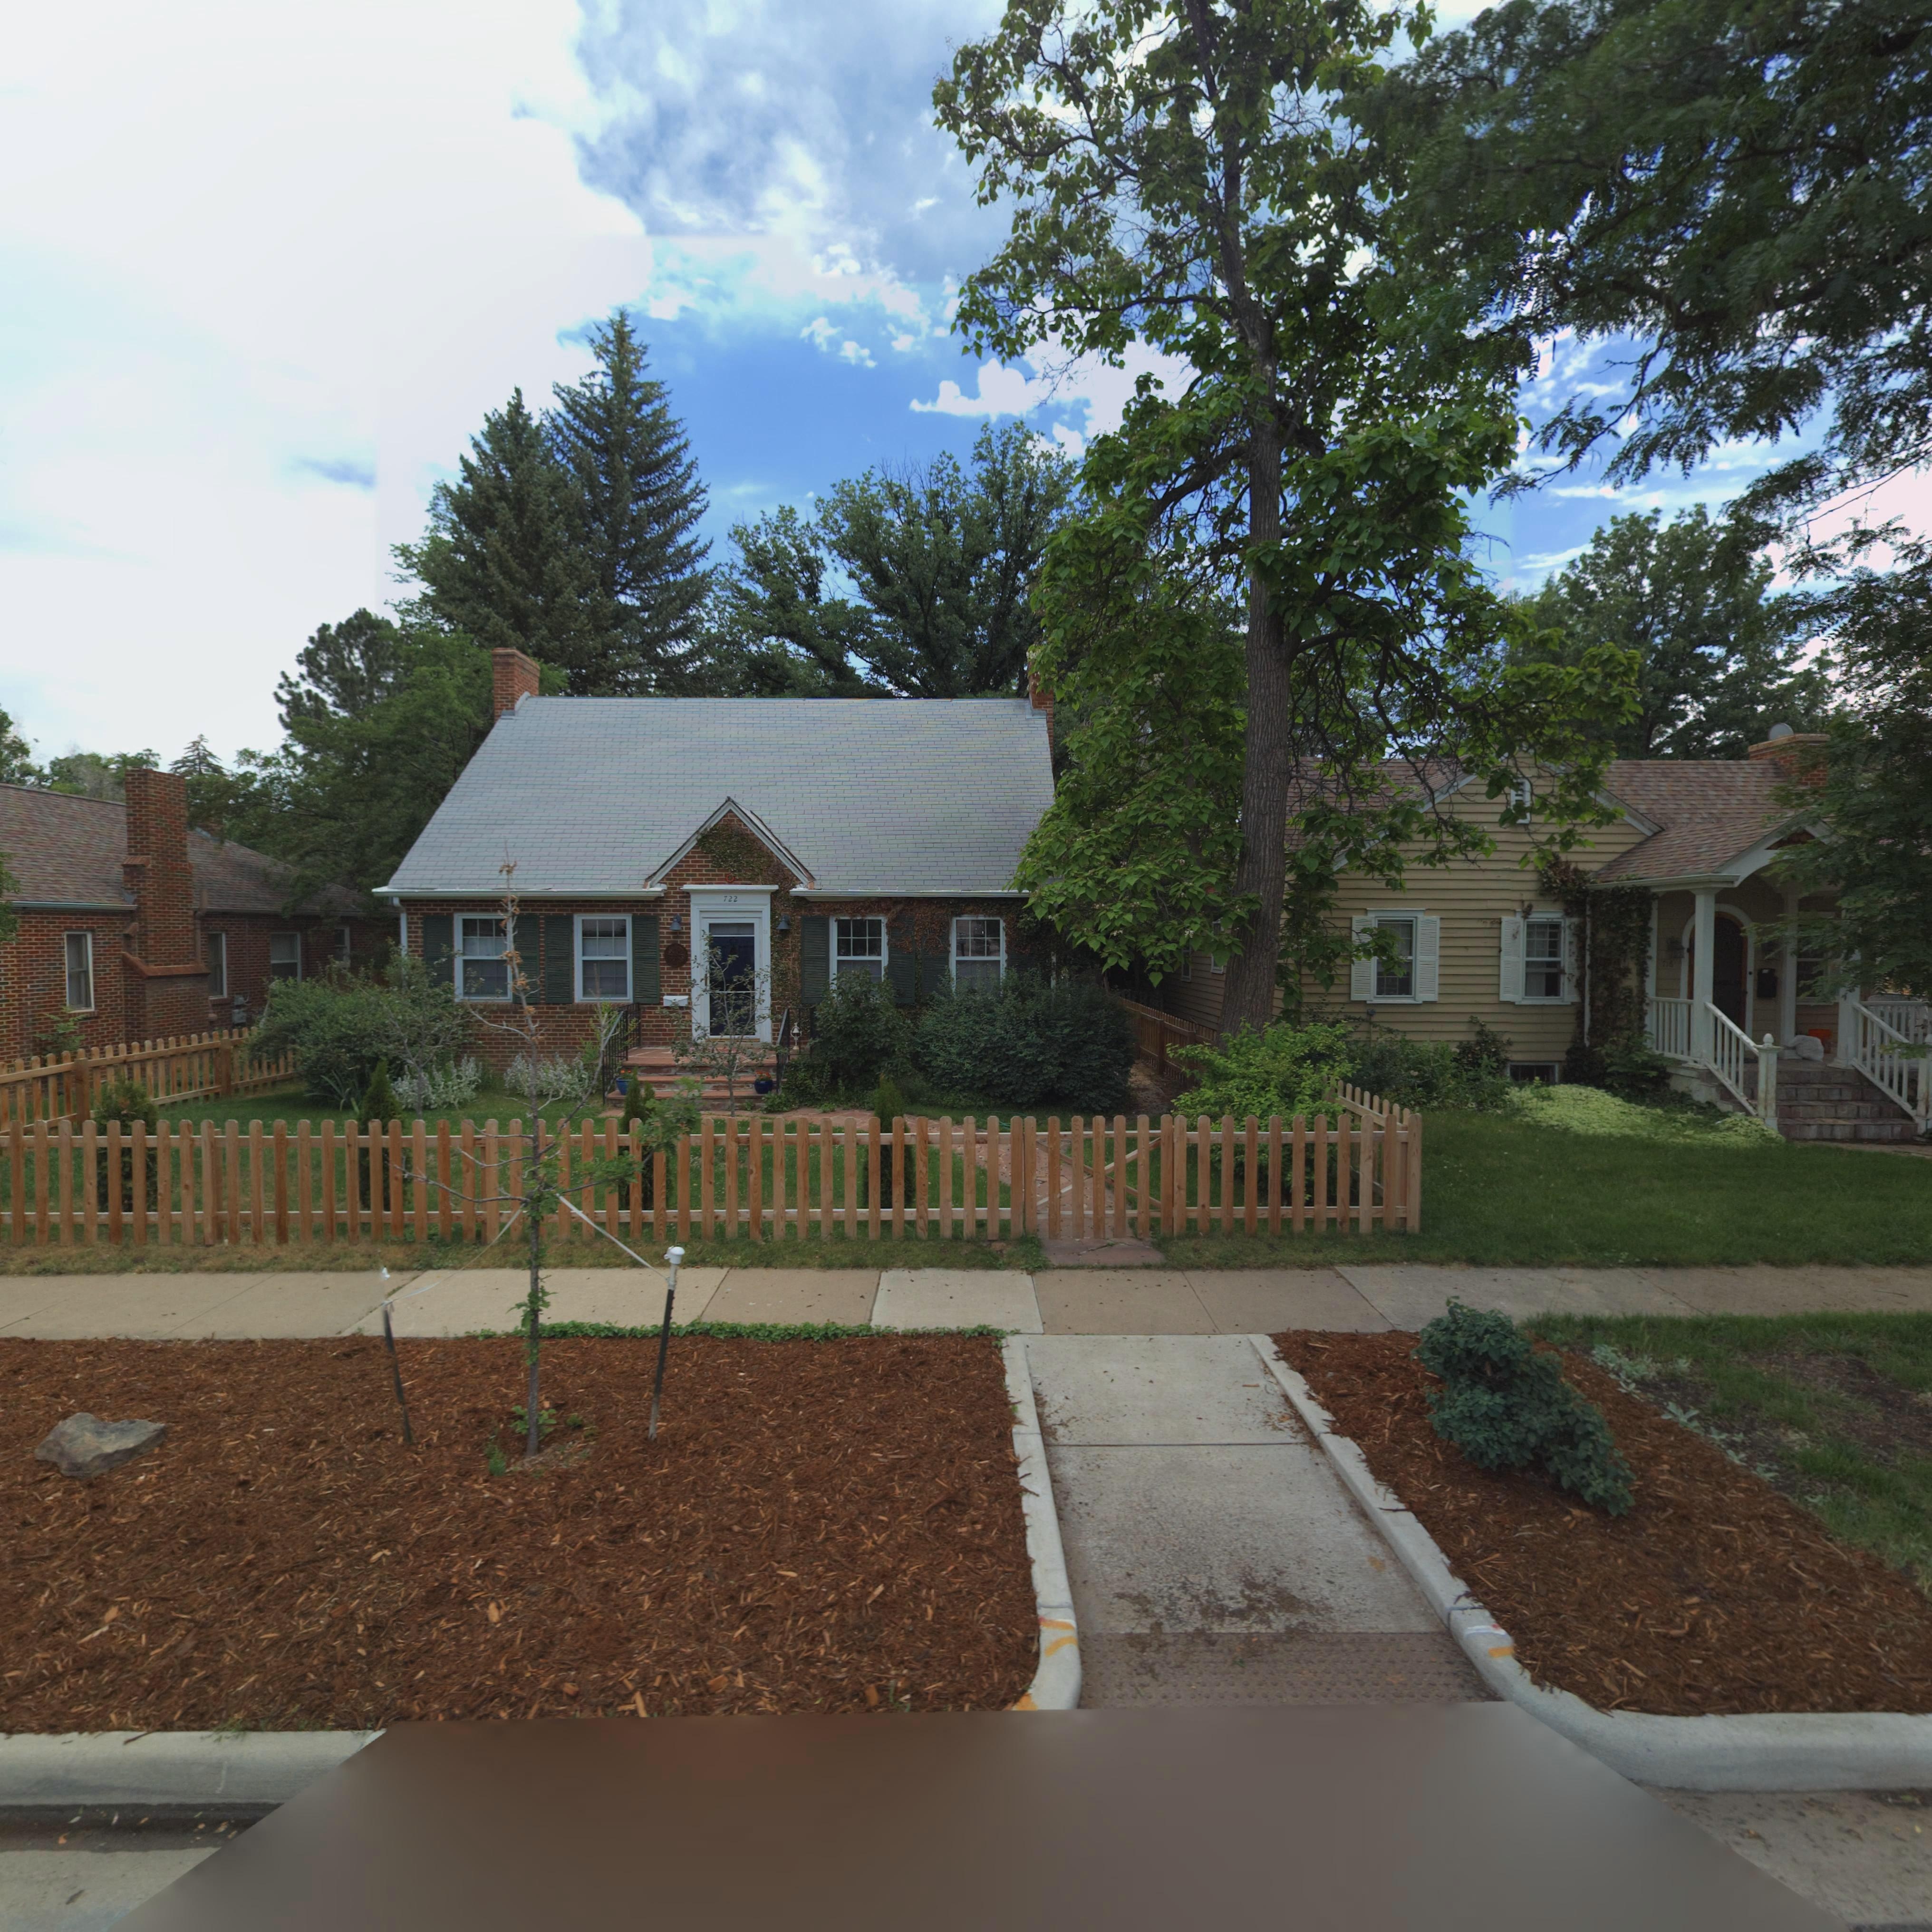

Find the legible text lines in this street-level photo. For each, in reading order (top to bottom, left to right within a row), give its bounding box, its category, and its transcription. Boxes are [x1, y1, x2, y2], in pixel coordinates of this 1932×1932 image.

[723, 895, 737, 902] StreetNumber: 722
[1661, 959, 1674, 968] StreetNumber: 716